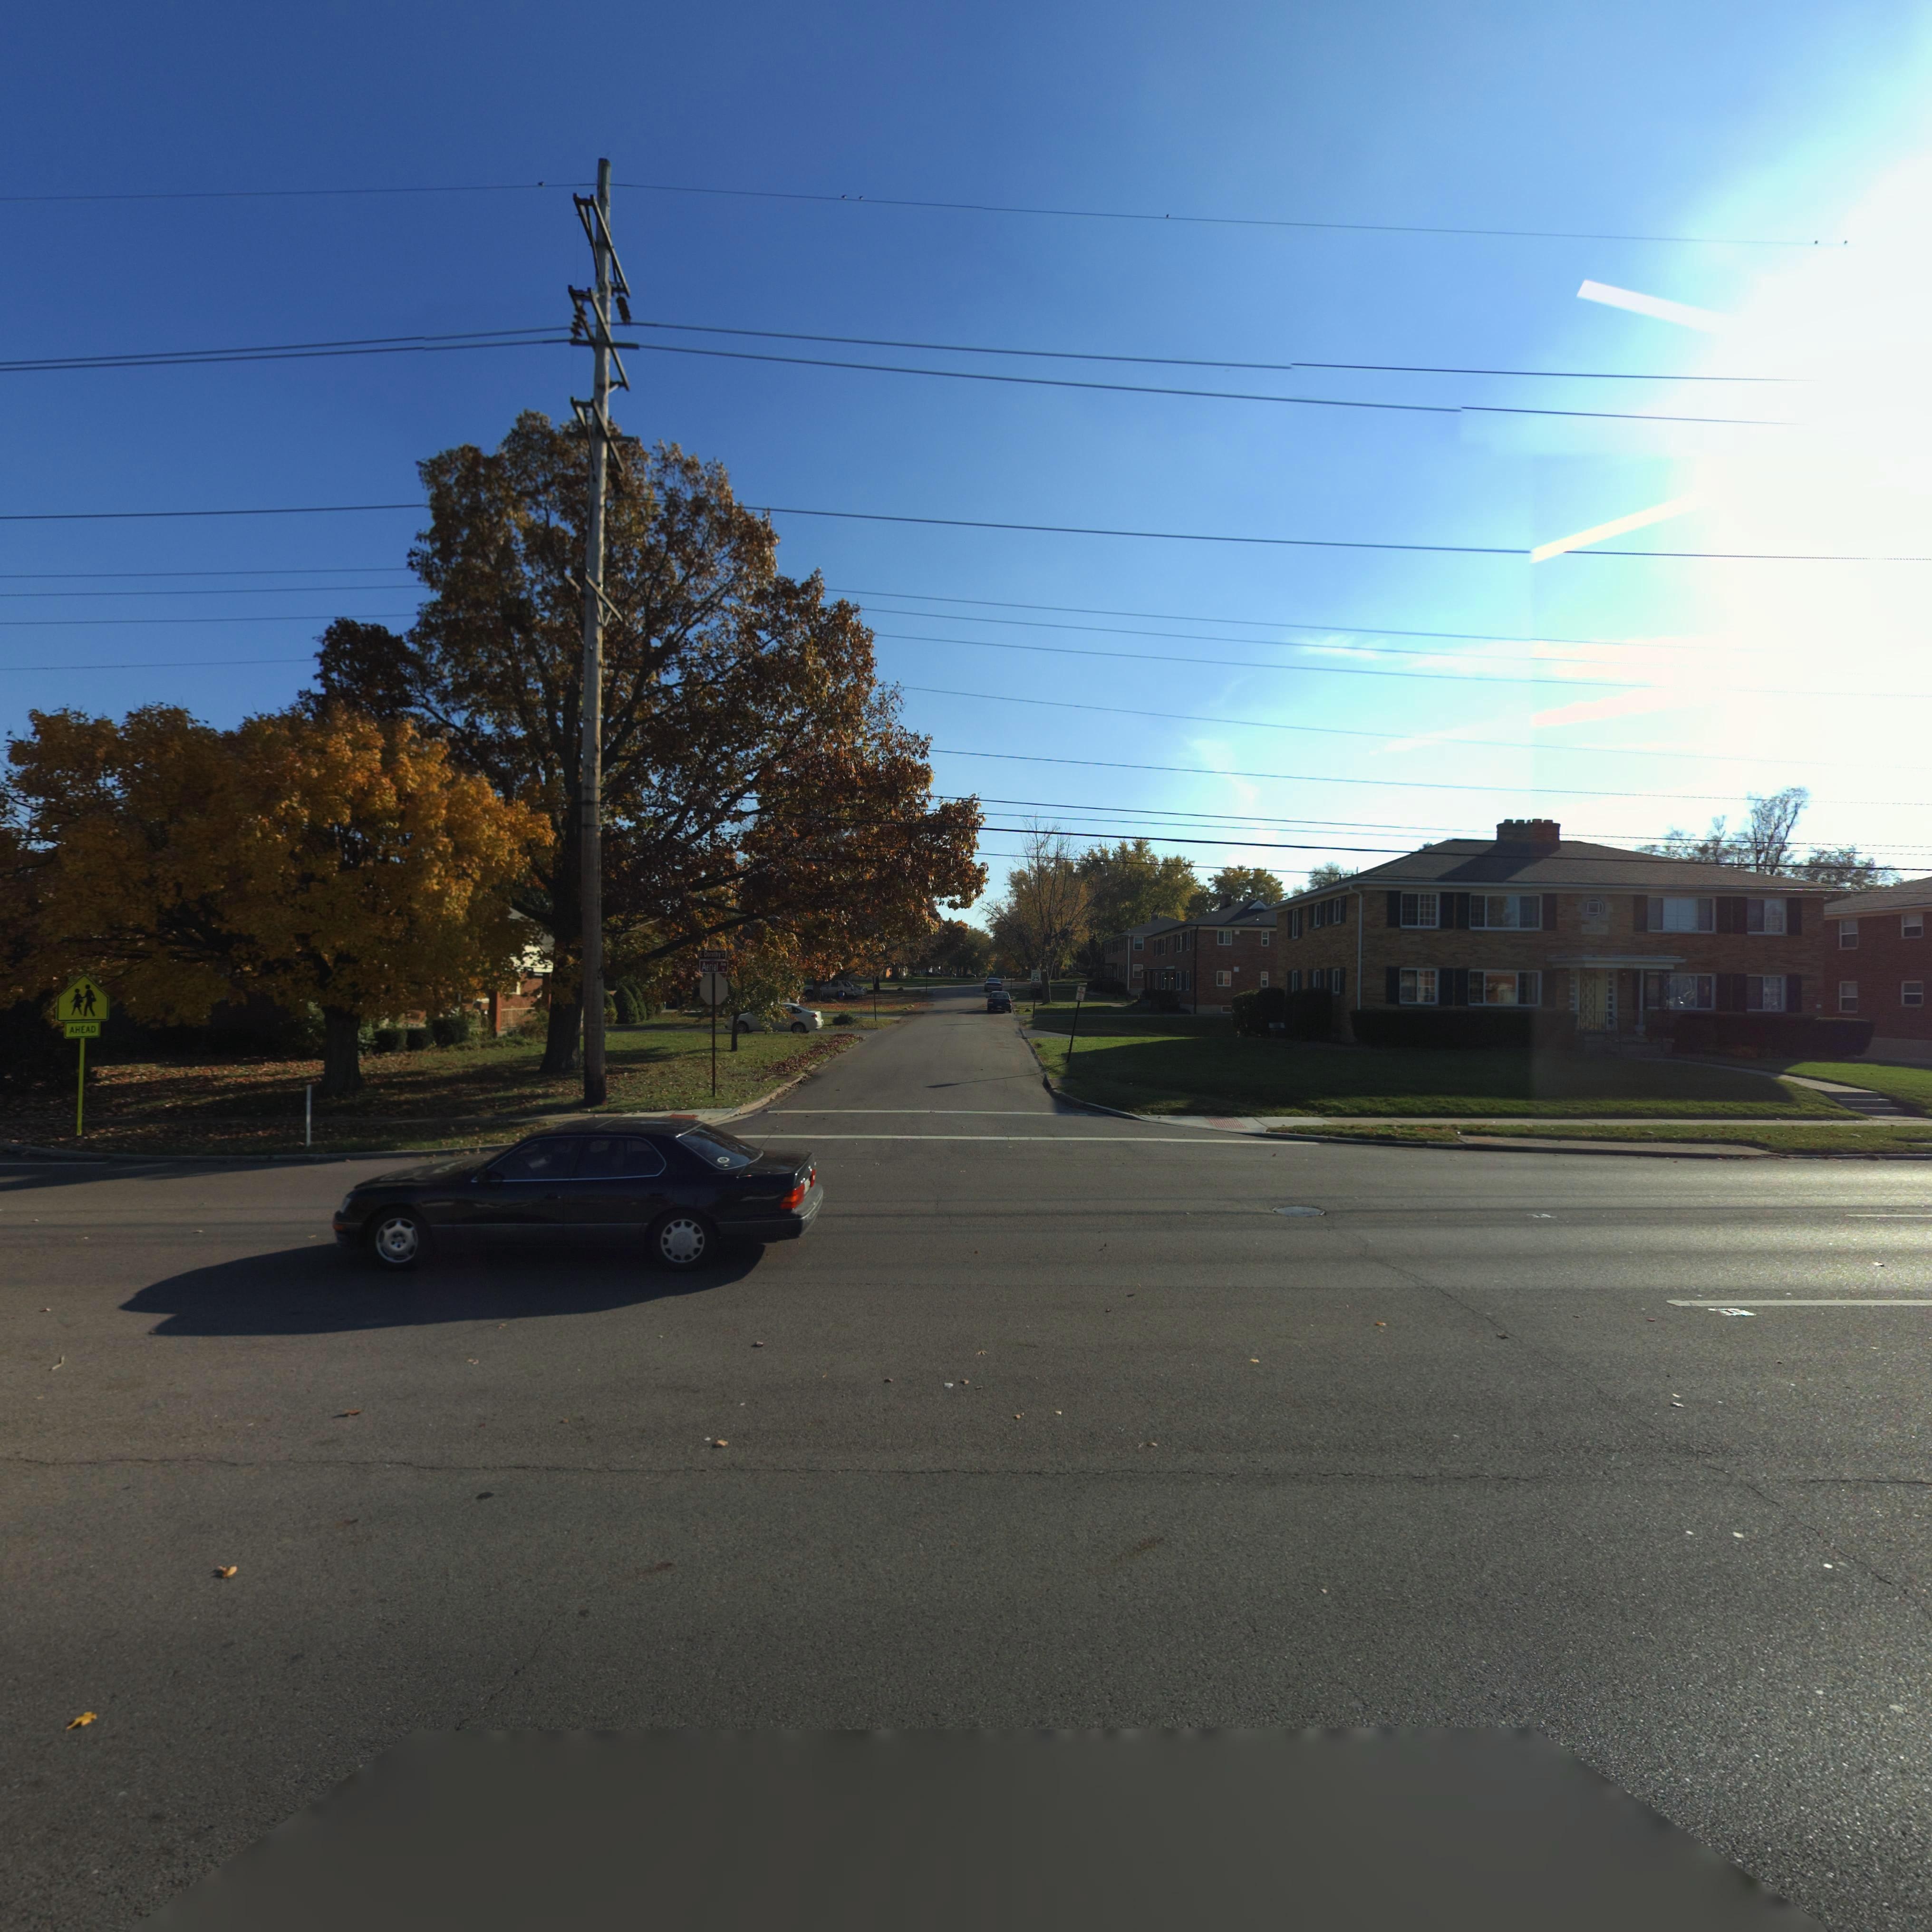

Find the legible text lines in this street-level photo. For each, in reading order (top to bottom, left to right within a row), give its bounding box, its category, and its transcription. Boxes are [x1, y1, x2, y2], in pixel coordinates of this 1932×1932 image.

[699, 950, 721, 959] StreetName: E Dorothy
[700, 961, 719, 972] StreetName: Aerial
[1623, 962, 1636, 969] StreetNumber: 542